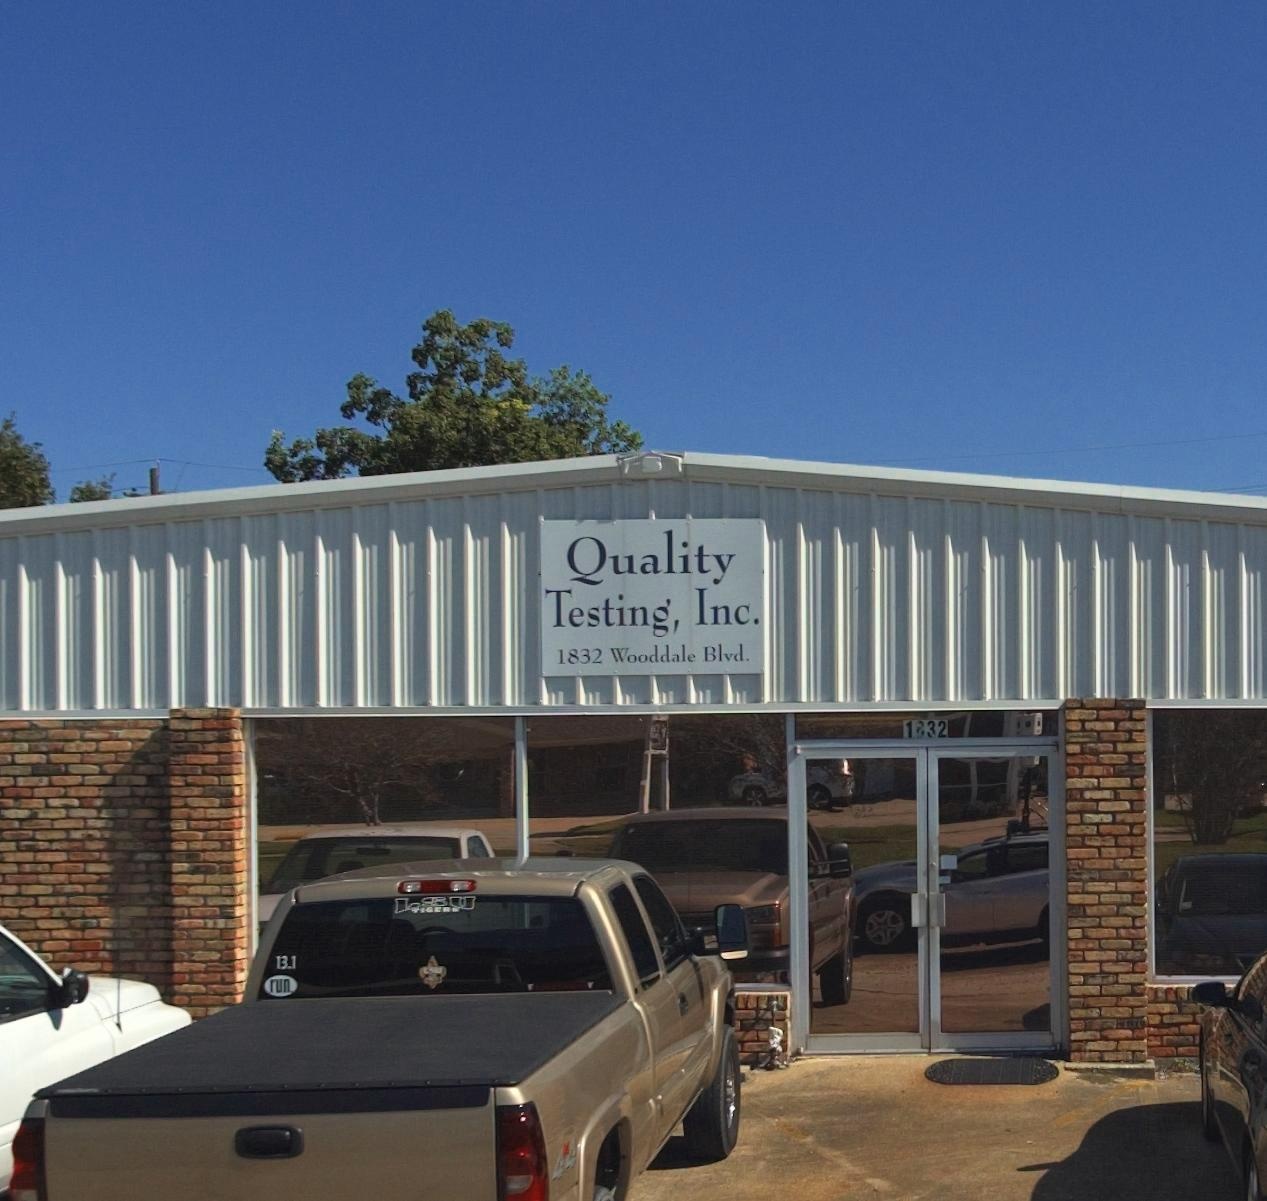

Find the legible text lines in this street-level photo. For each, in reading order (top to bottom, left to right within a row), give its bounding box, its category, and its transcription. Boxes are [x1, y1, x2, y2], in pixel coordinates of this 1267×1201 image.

[564, 526, 741, 588] BusinessName: Quality
[541, 584, 764, 642] BusinessName: Testing, Inc.
[556, 645, 606, 667] StreetNumber: 1832
[606, 640, 753, 665] StreetName: Wooddale Blvd.
[904, 719, 950, 740] StreetNumber: 1*32
[391, 893, 479, 916] None: lsu
[273, 953, 299, 972] None: 13.1
[268, 976, 292, 996] None: run